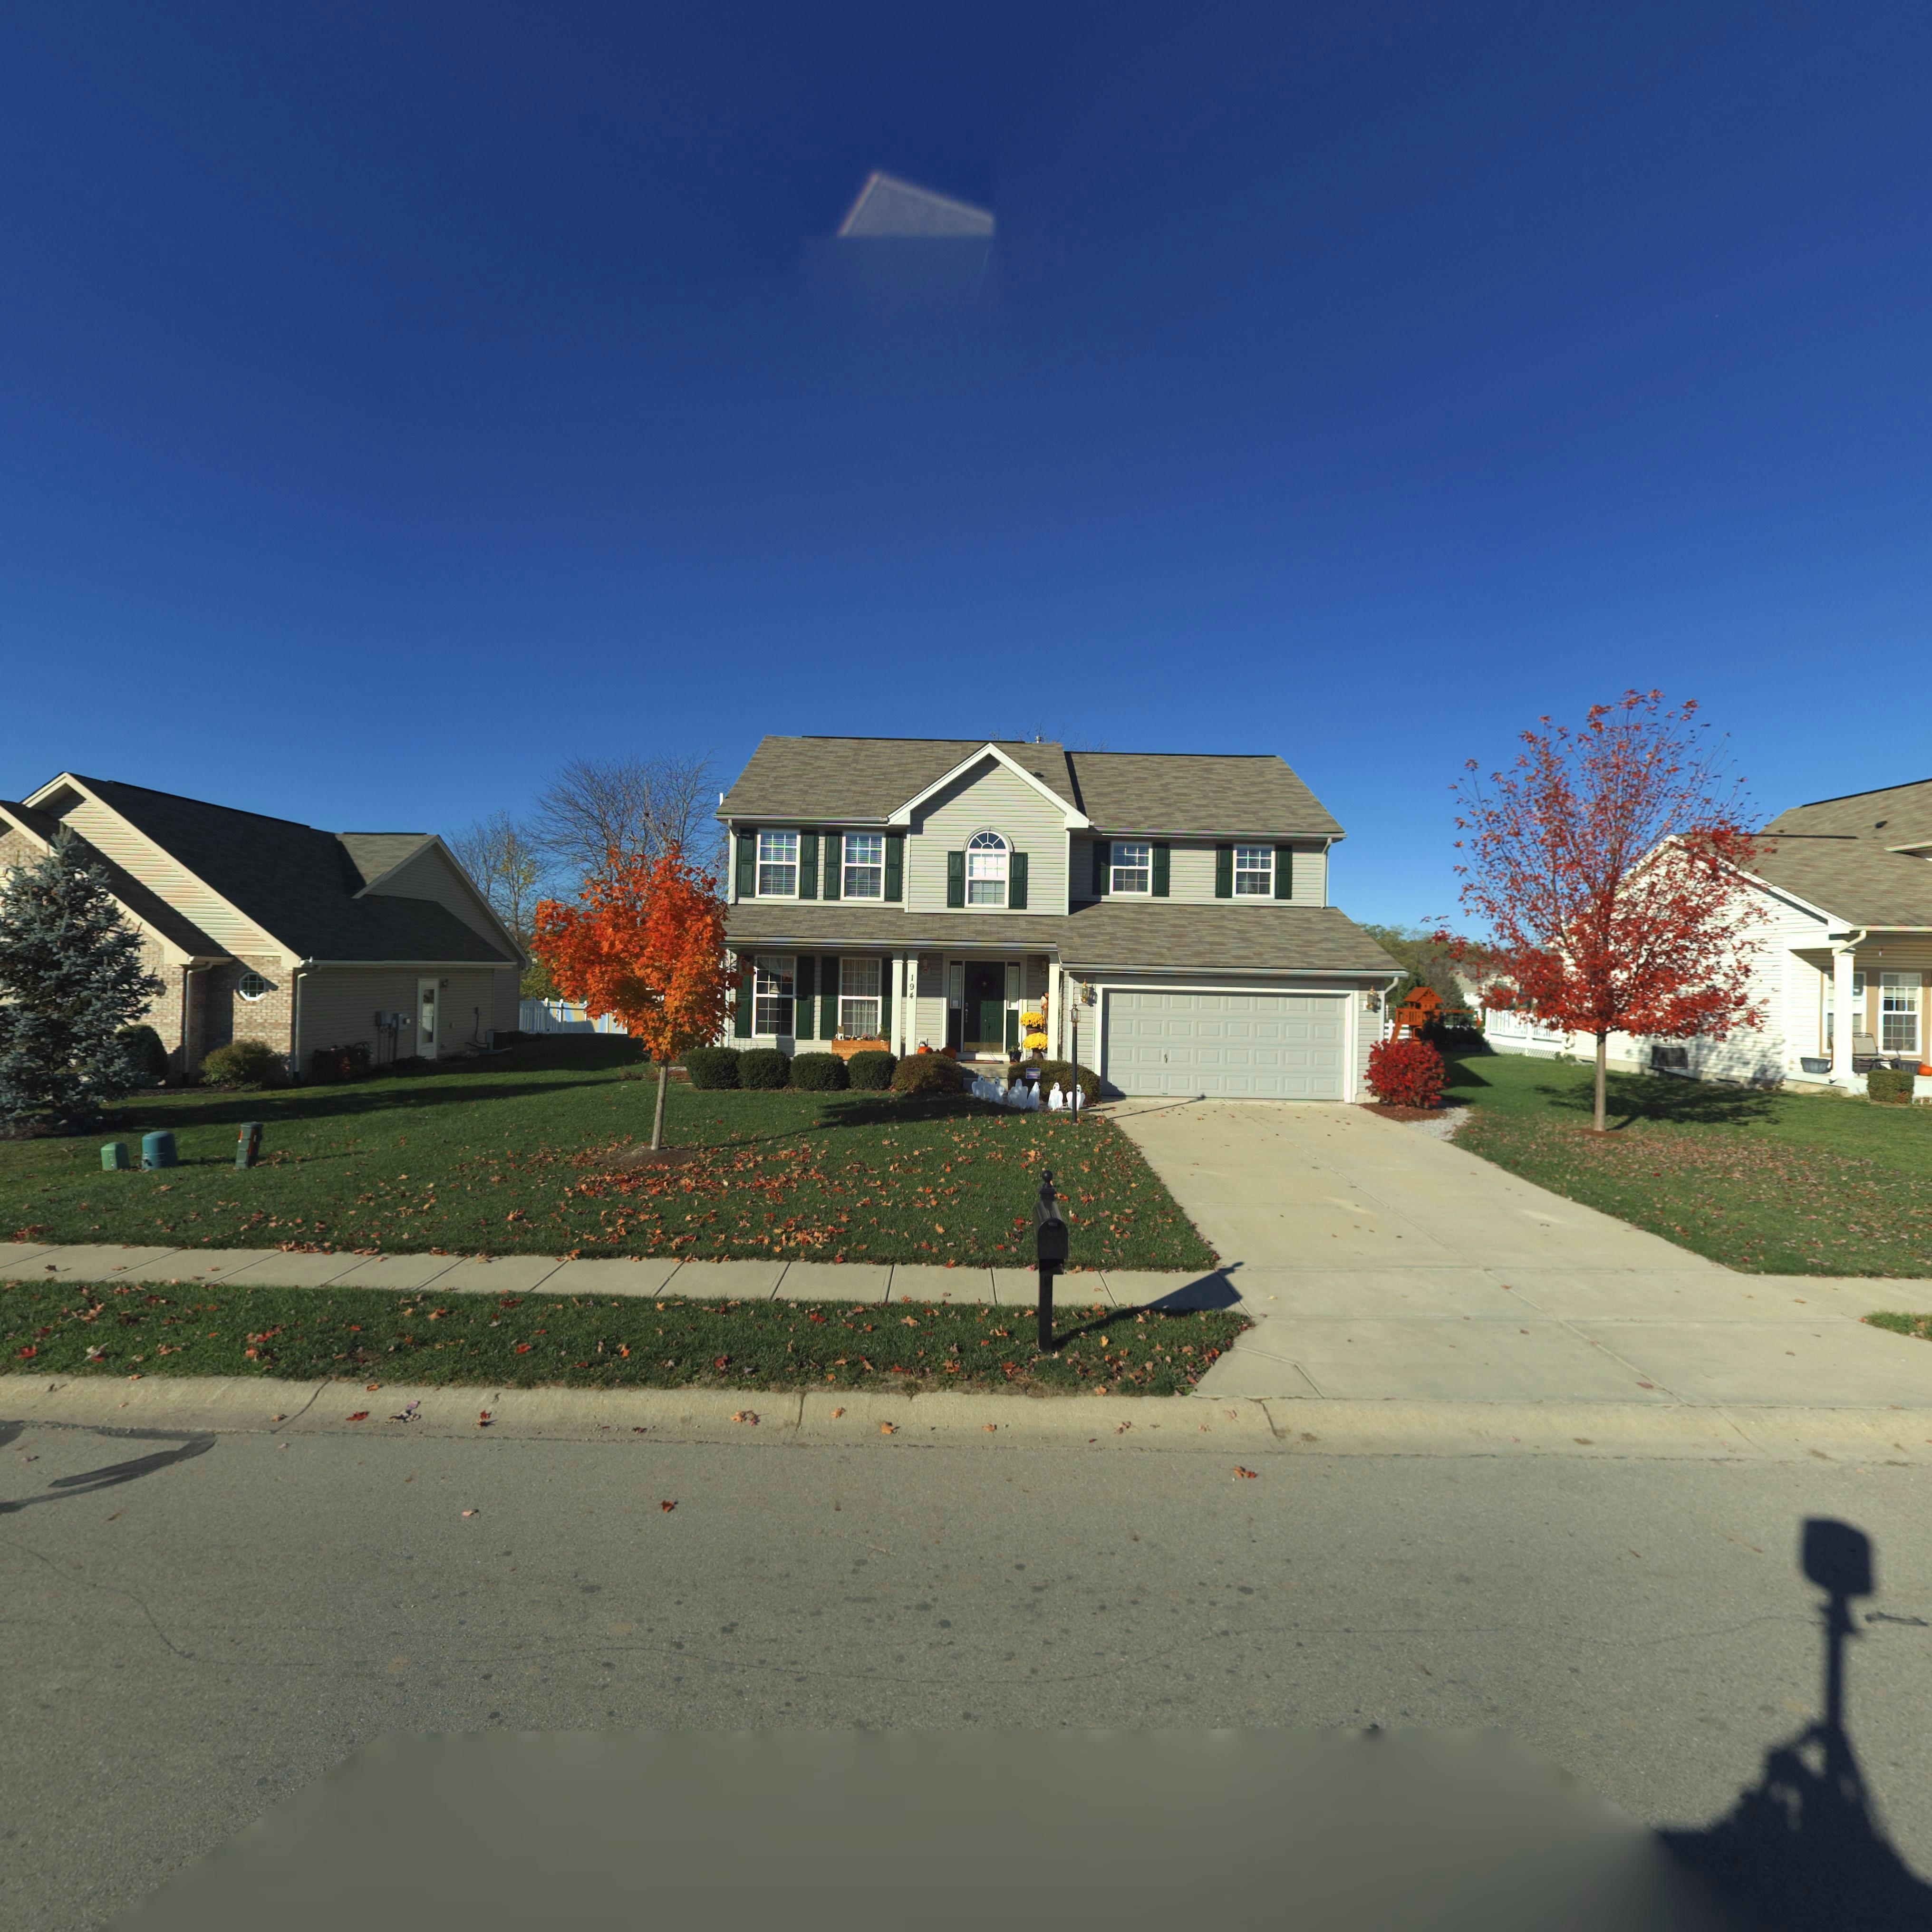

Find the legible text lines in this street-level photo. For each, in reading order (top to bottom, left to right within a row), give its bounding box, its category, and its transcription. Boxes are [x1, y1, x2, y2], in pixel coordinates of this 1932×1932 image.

[908, 972, 916, 1000] StreetNumber: 194